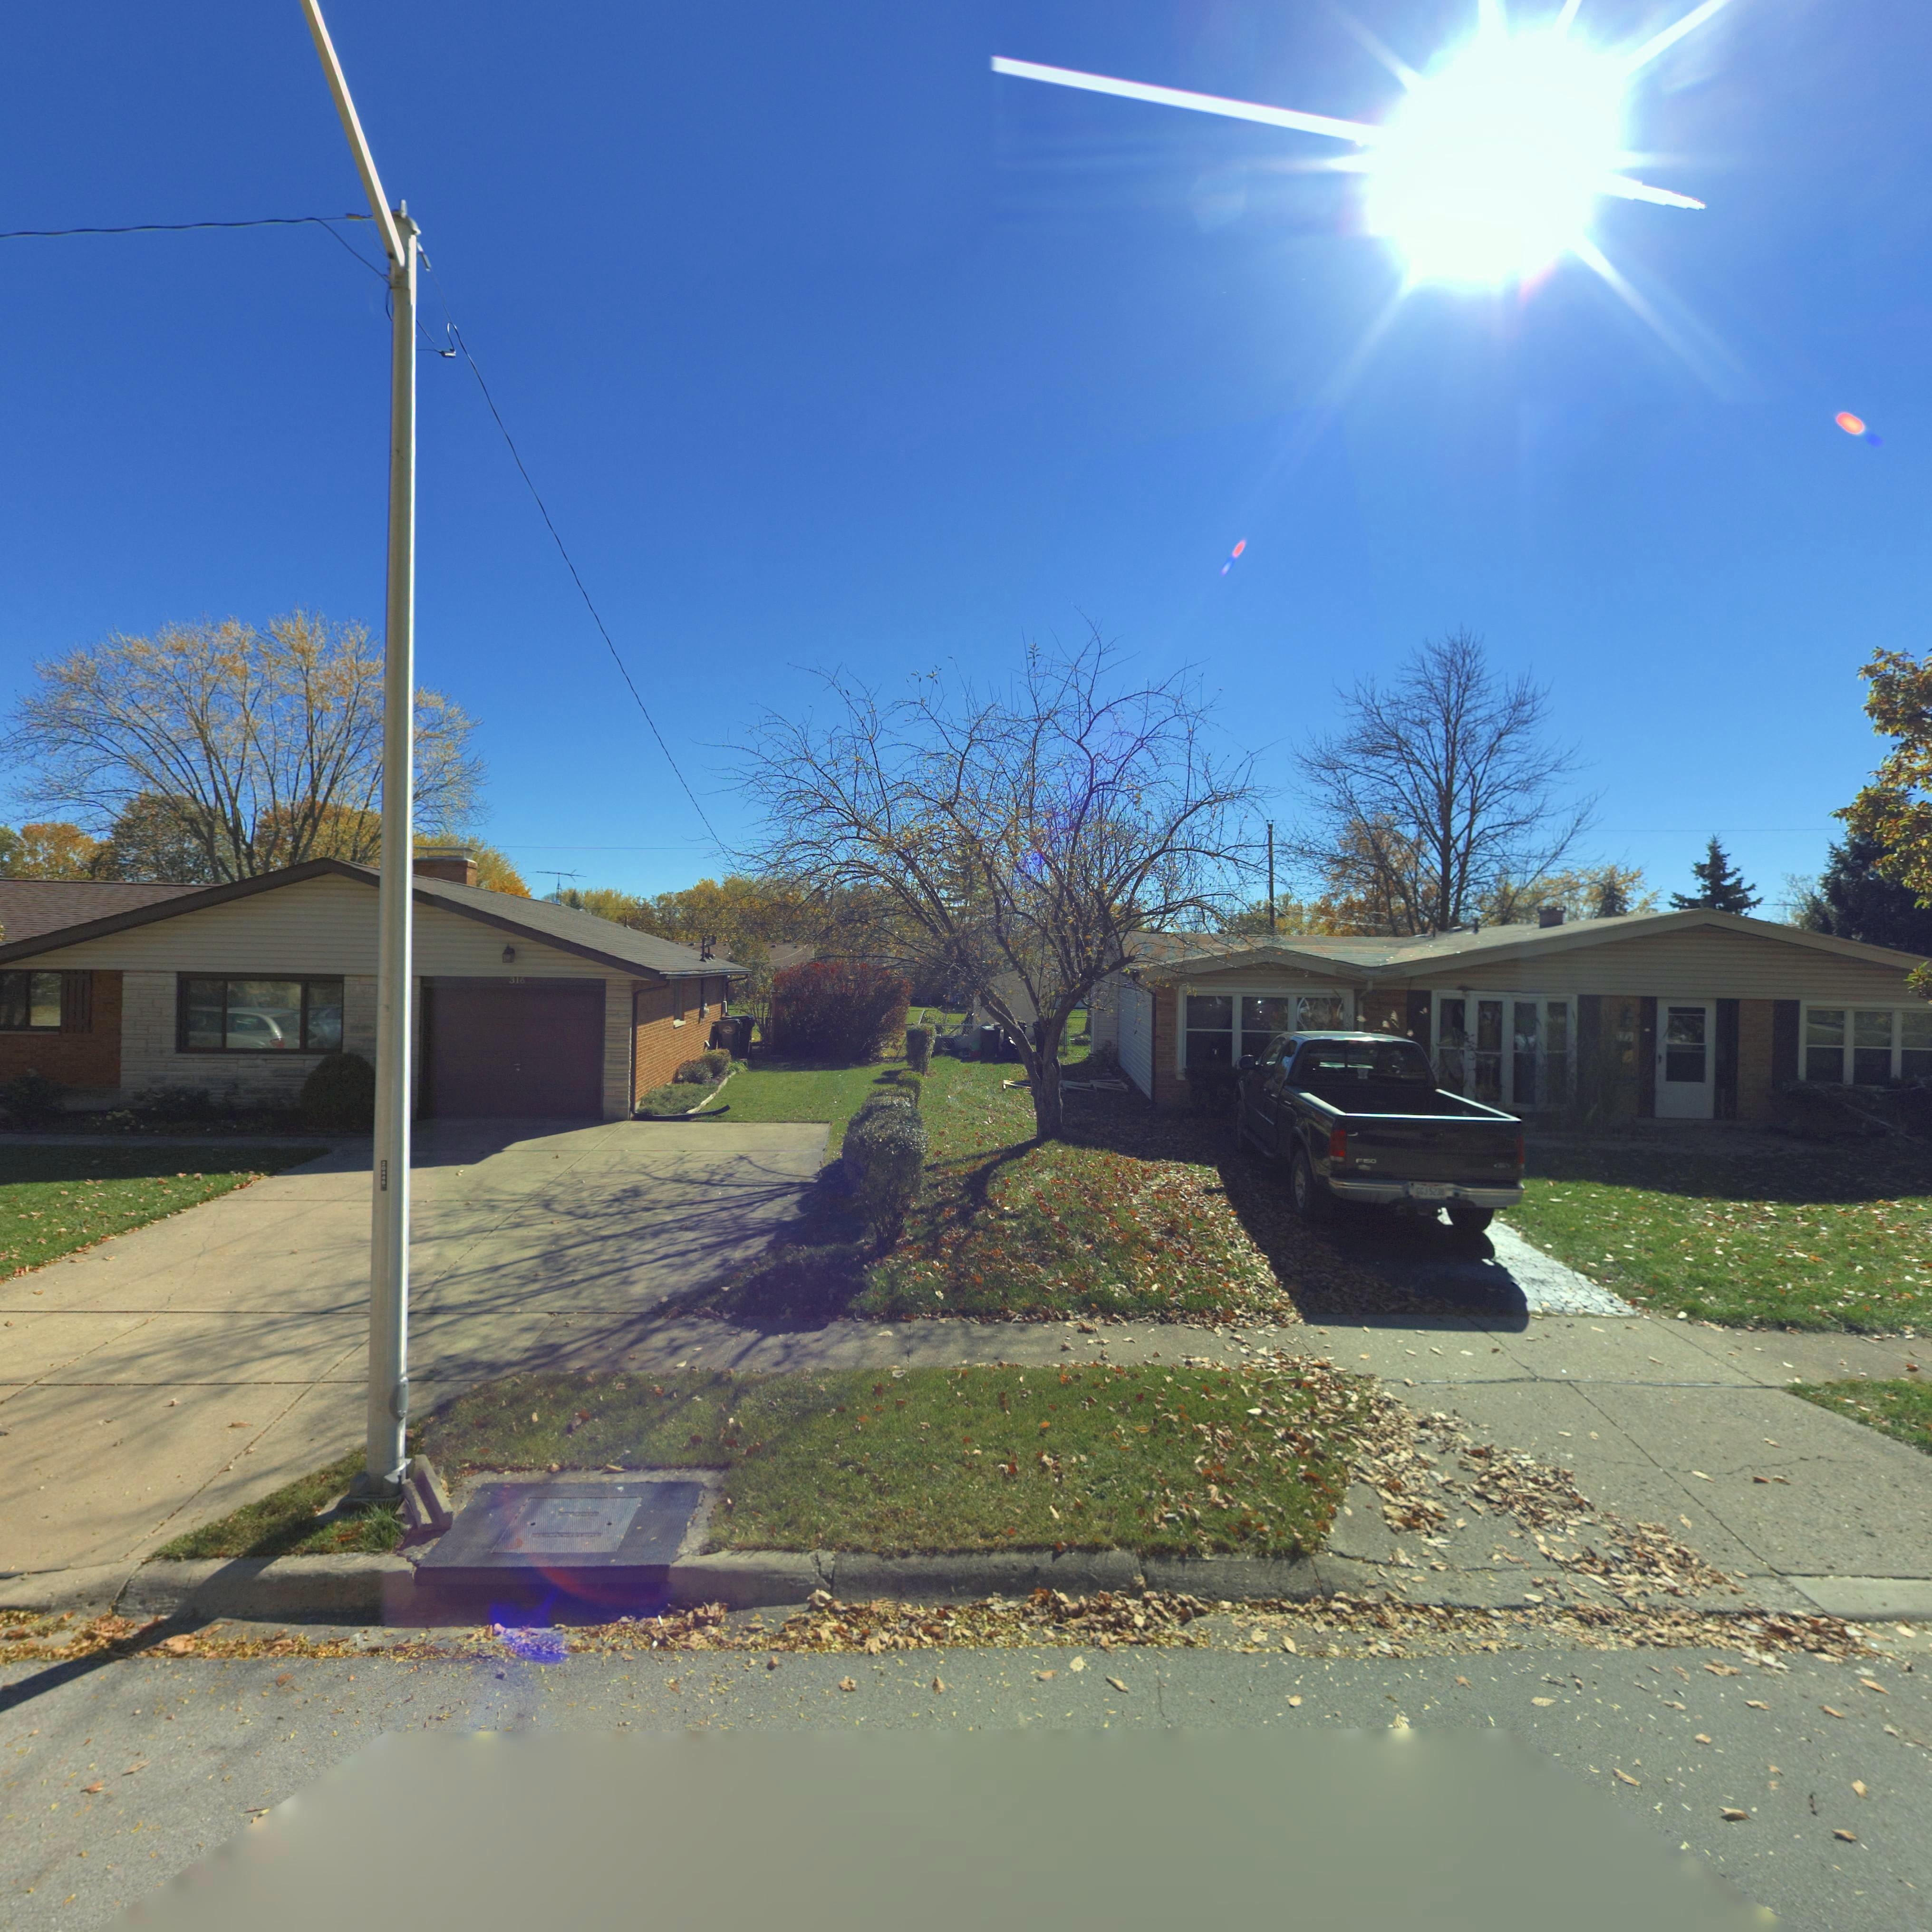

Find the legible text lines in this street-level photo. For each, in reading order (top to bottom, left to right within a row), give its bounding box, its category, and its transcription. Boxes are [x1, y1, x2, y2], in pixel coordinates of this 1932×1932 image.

[508, 976, 526, 985] StreetNumber: 316
[1355, 1158, 1377, 1164] None: F150
[1415, 1187, 1445, 1197] None: GGJ*523*